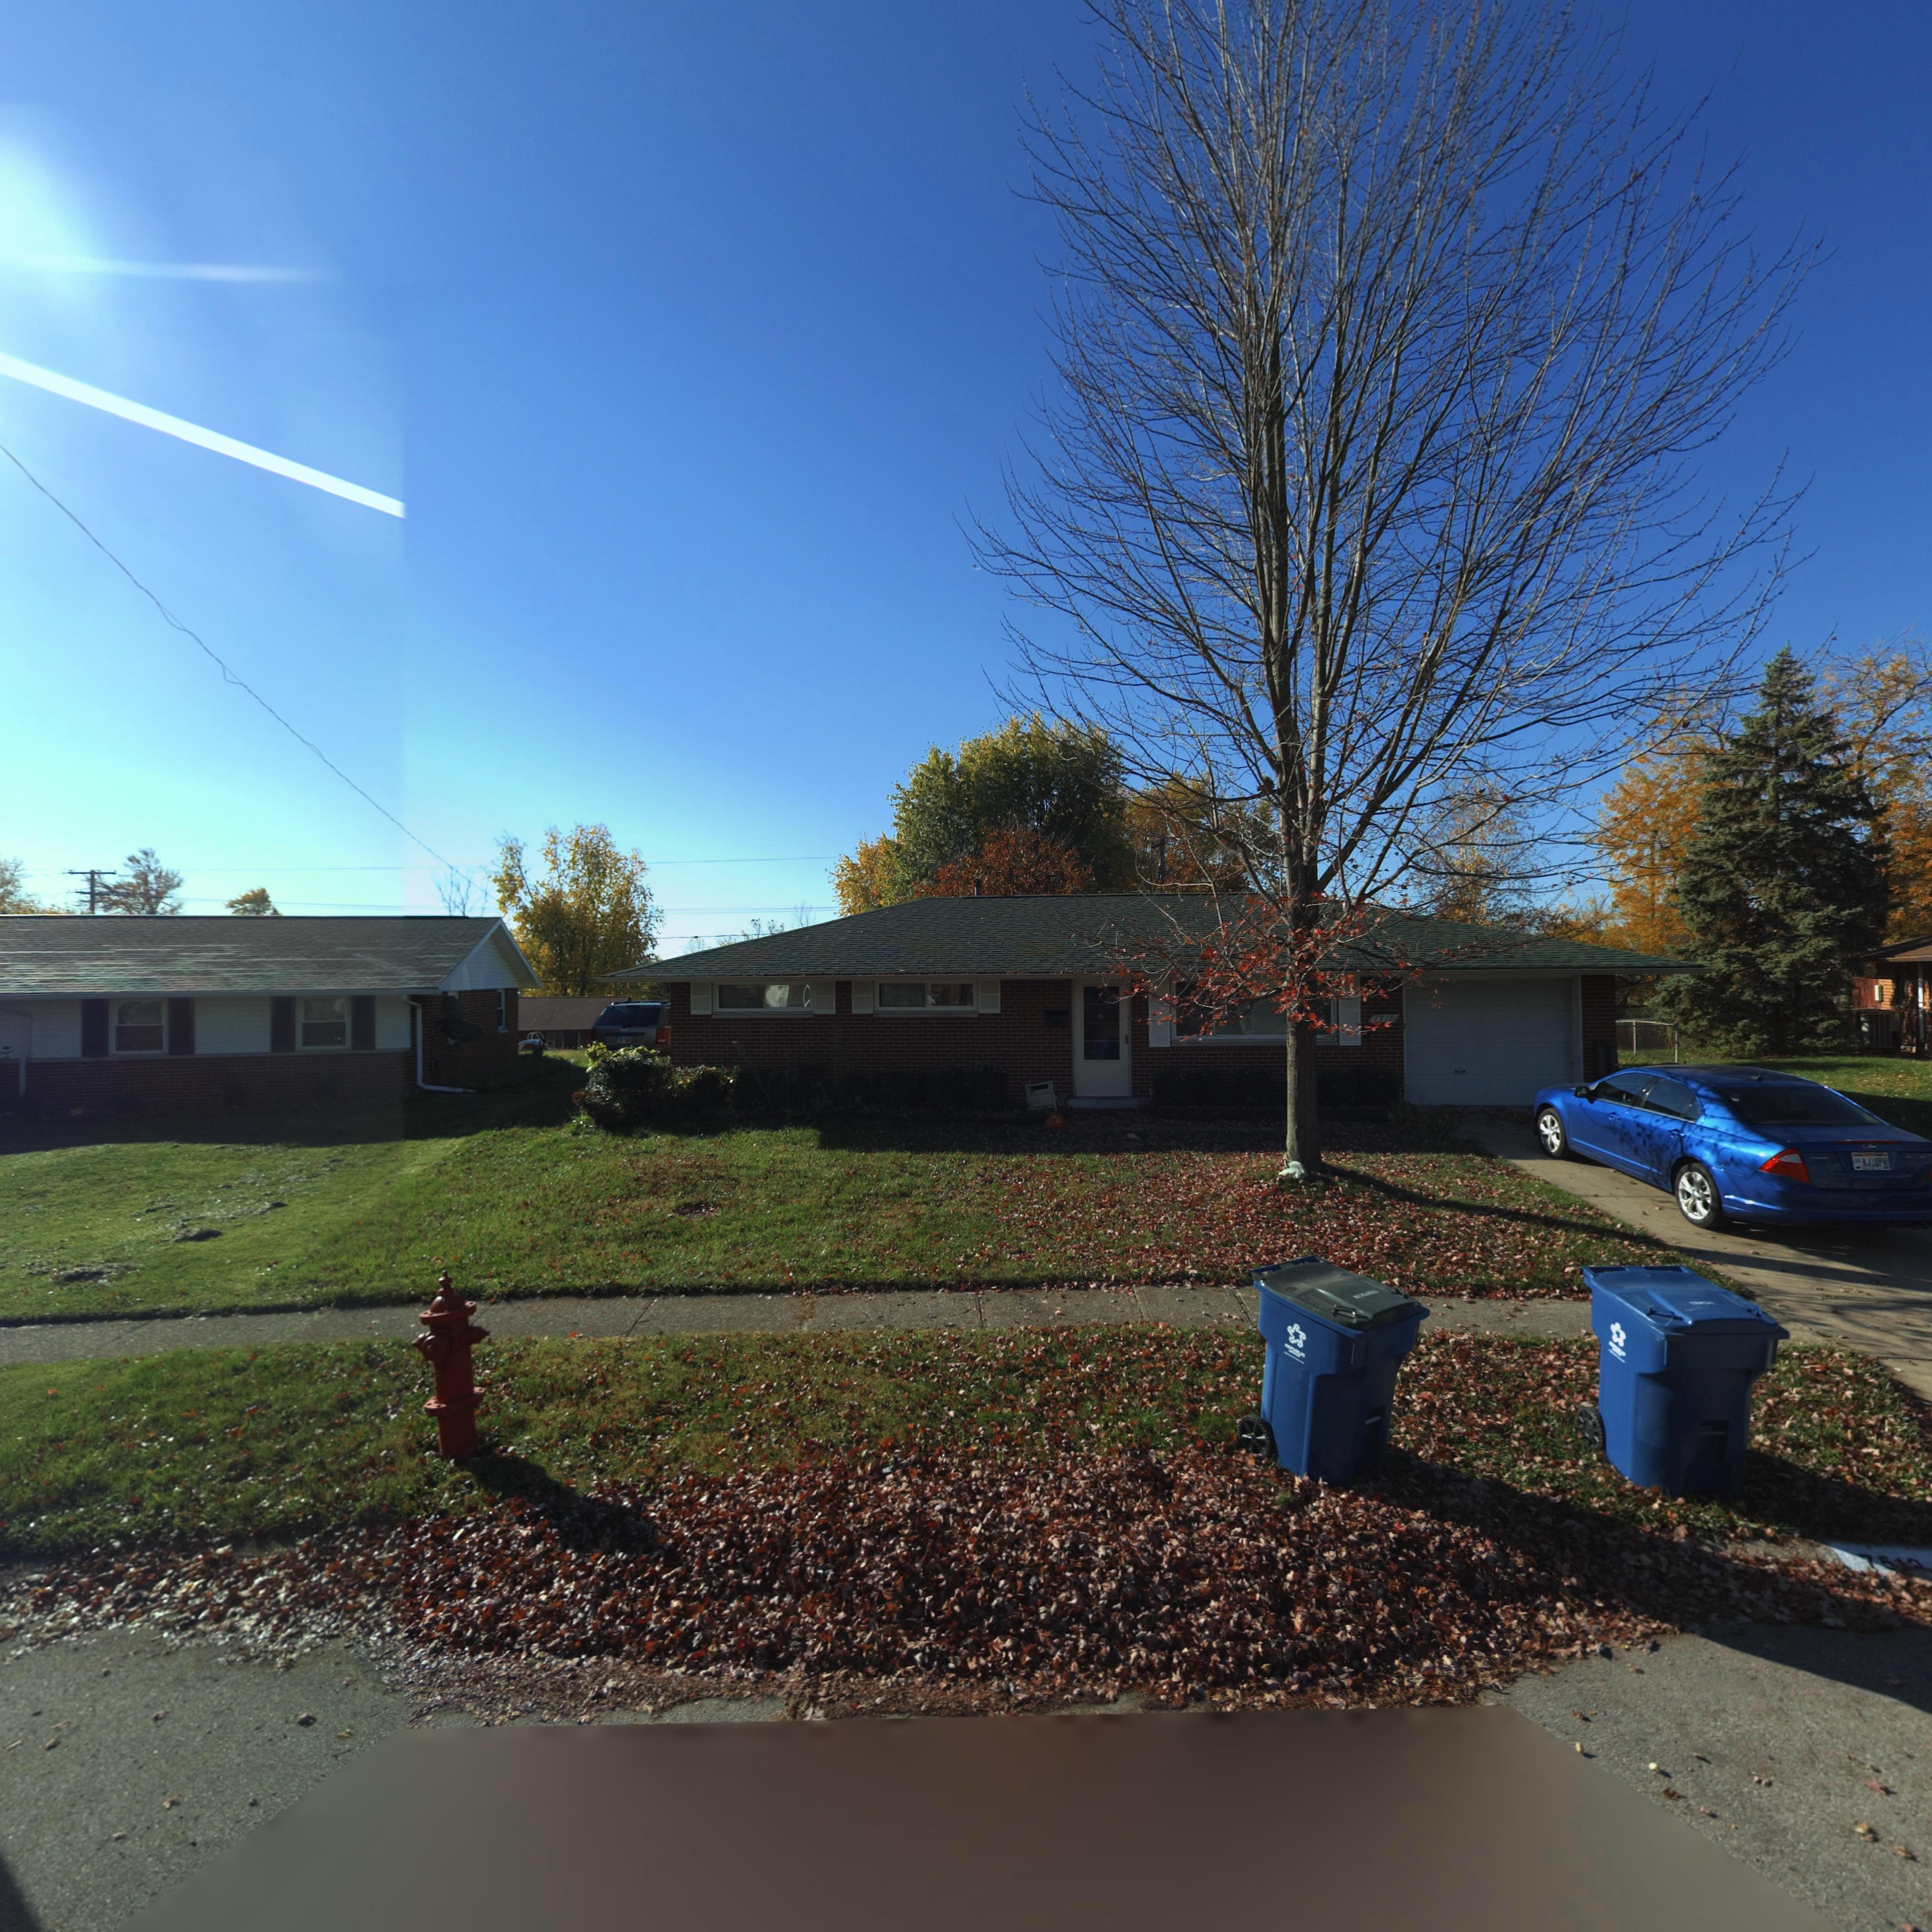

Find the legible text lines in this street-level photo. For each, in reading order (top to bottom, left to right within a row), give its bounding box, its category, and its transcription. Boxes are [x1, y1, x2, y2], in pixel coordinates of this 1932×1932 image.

[1373, 1014, 1396, 1023] StreetNumber: 7519
[1854, 1552, 1928, 1574] StreetNumber: 75**